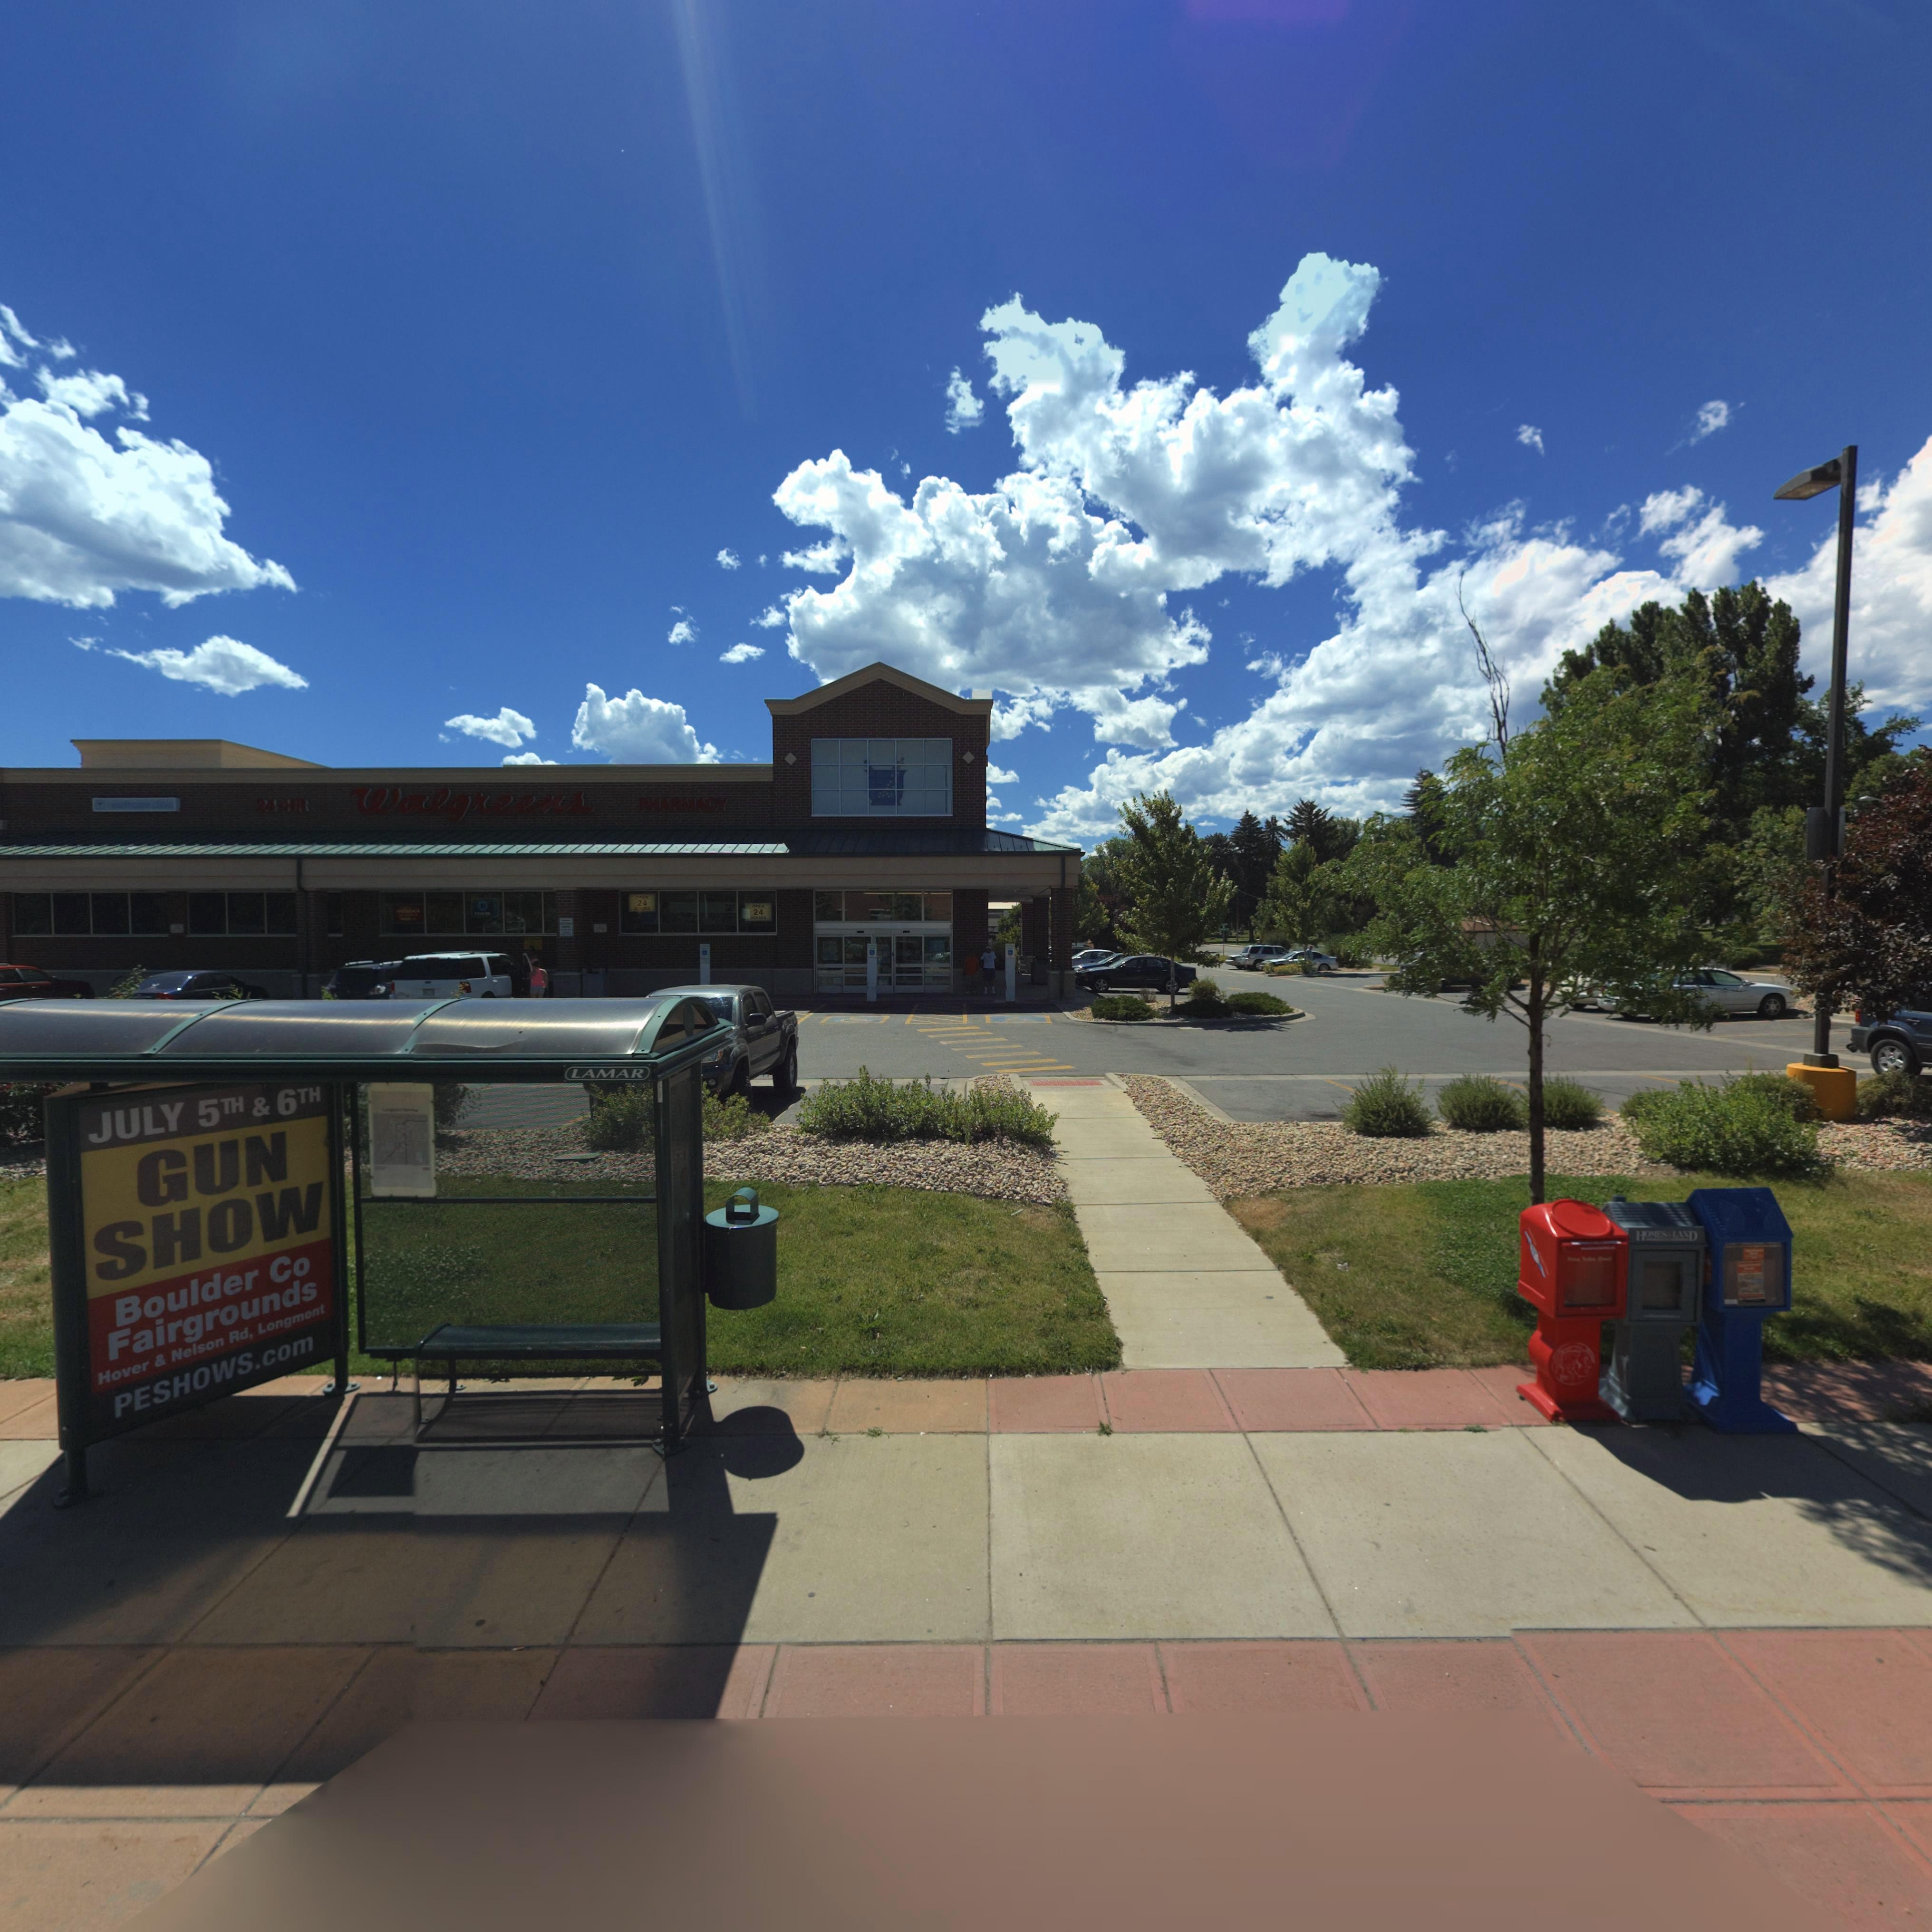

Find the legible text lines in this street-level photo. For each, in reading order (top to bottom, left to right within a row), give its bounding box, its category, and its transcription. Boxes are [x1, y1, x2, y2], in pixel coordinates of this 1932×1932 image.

[349, 785, 596, 825] BusinessName: Walgreens